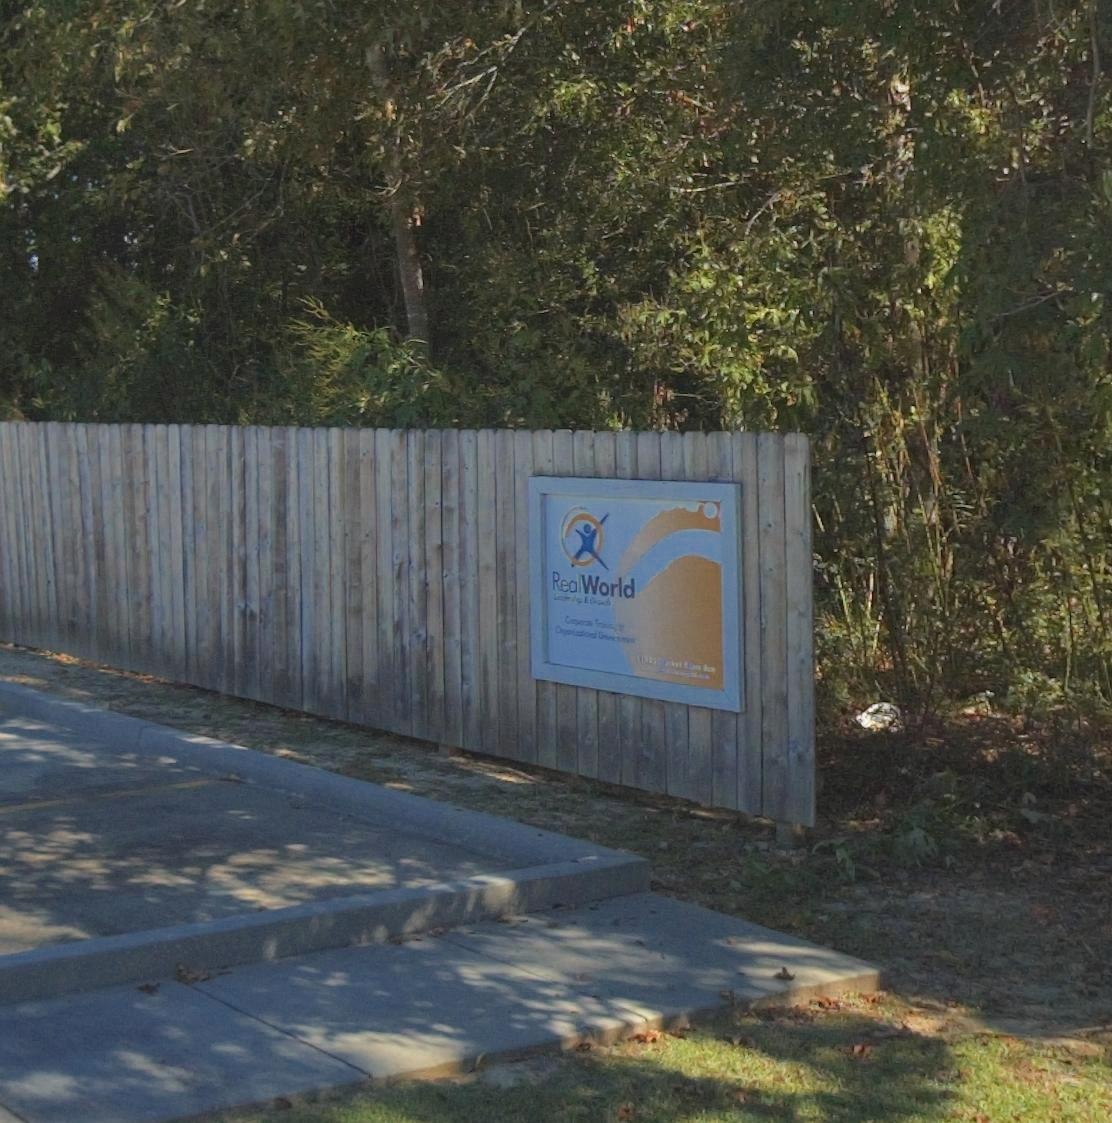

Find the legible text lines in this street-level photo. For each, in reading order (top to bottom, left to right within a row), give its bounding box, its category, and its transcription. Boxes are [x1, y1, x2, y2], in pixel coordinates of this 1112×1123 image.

[550, 569, 637, 601] BusinessName: Real World 